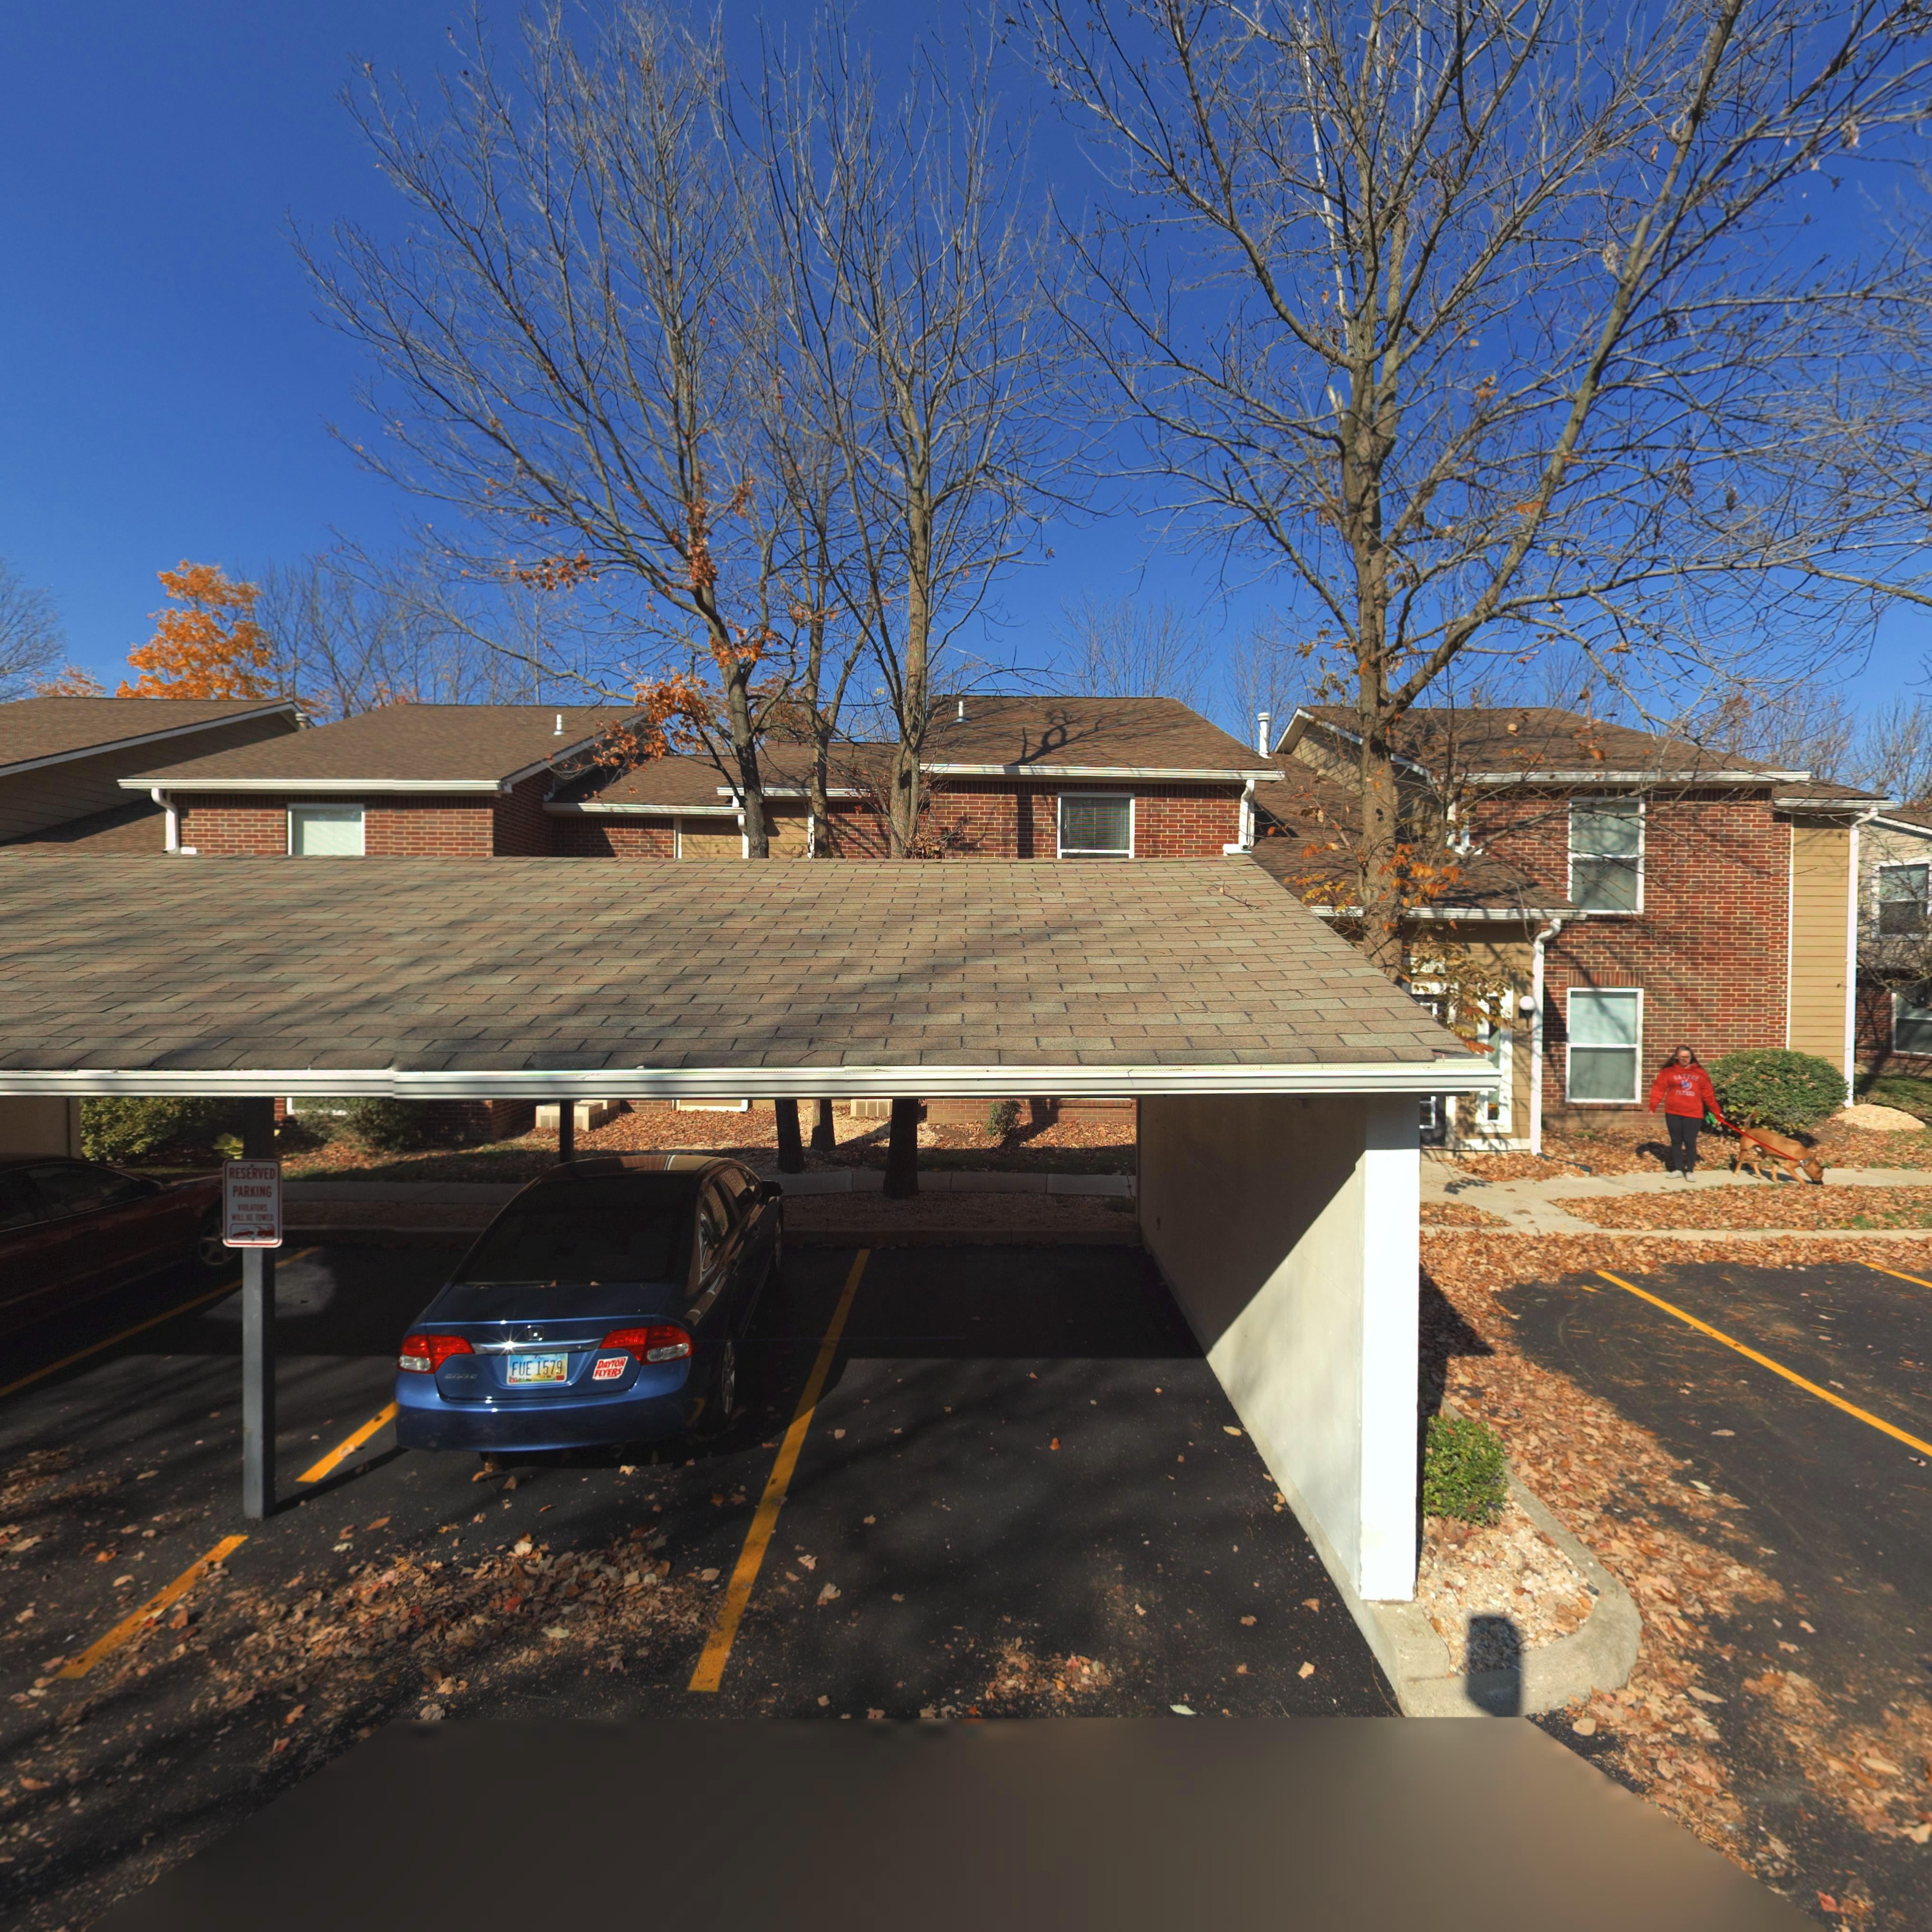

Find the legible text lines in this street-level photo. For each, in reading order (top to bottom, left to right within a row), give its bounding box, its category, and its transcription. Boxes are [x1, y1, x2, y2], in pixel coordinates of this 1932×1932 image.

[228, 1166, 277, 1180] None: RESERVED
[232, 1185, 273, 1198] None: PARKING
[511, 1358, 563, 1377] None: FUE 1579
[593, 1367, 624, 1378] None: FLYERS
[596, 1357, 627, 1370] None: DAYTON